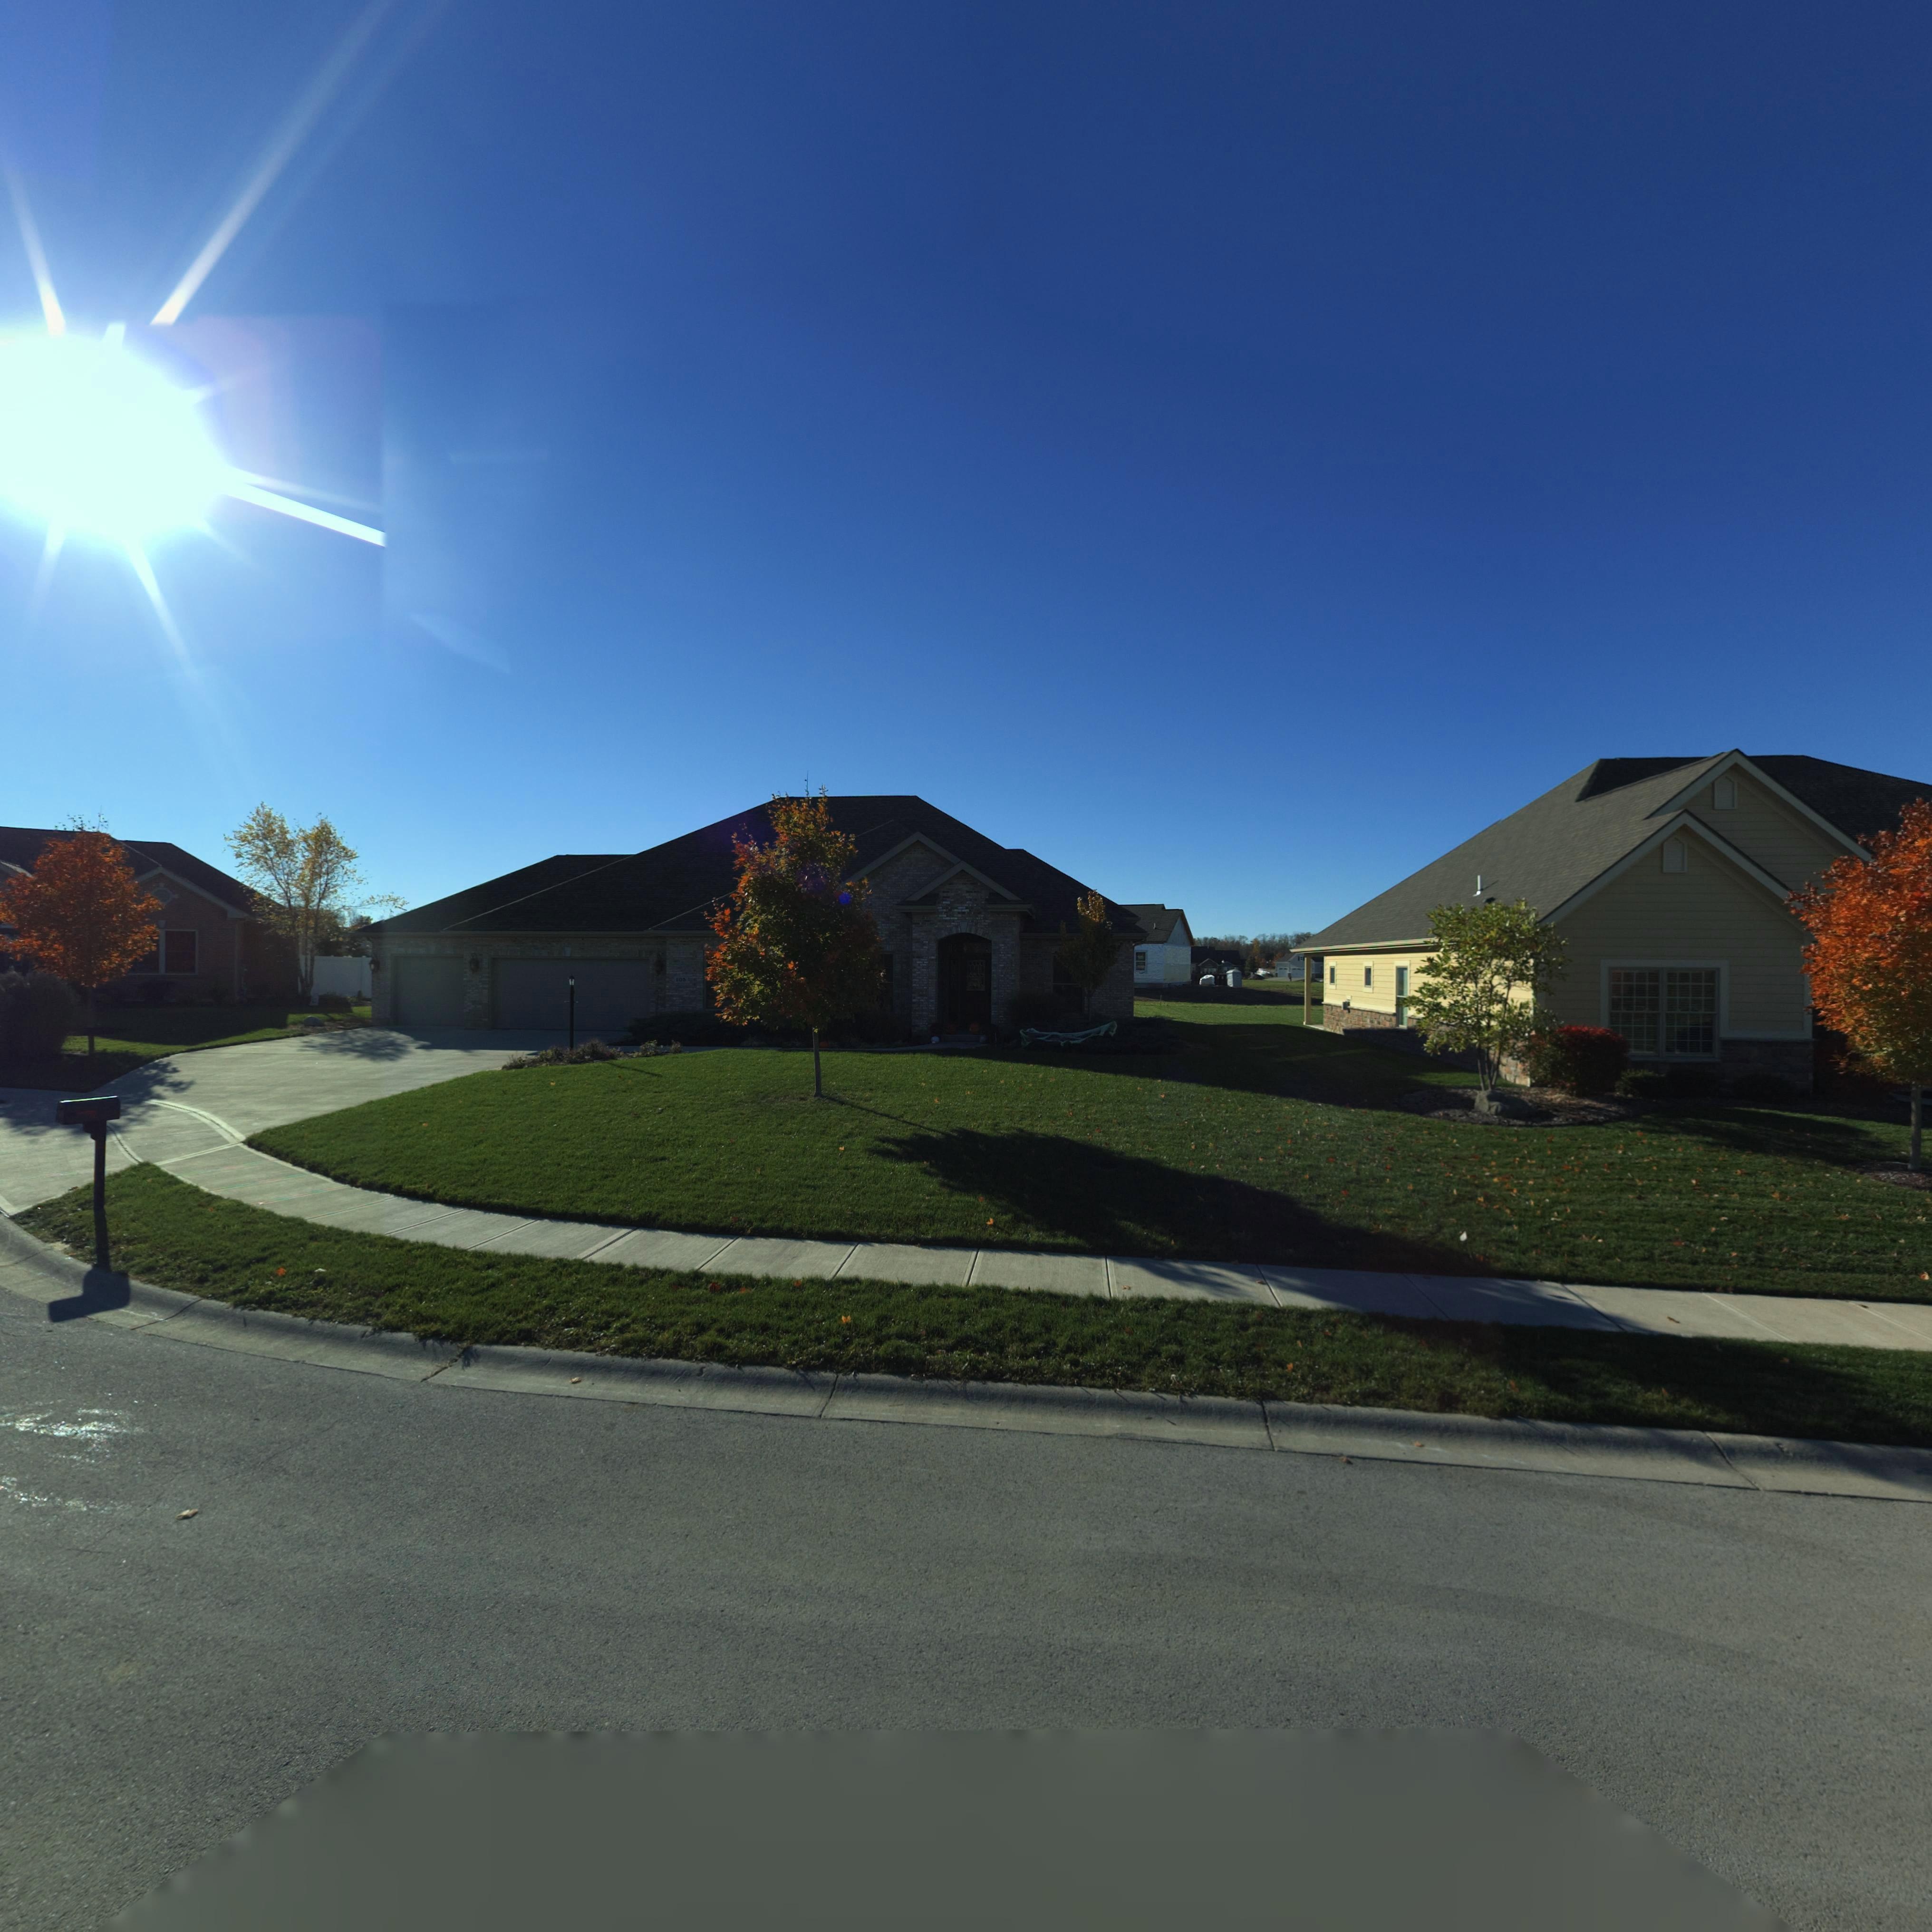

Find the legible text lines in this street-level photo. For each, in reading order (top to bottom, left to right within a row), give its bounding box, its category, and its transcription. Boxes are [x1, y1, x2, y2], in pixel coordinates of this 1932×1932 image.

[675, 976, 687, 983] StreetNumber: 10*